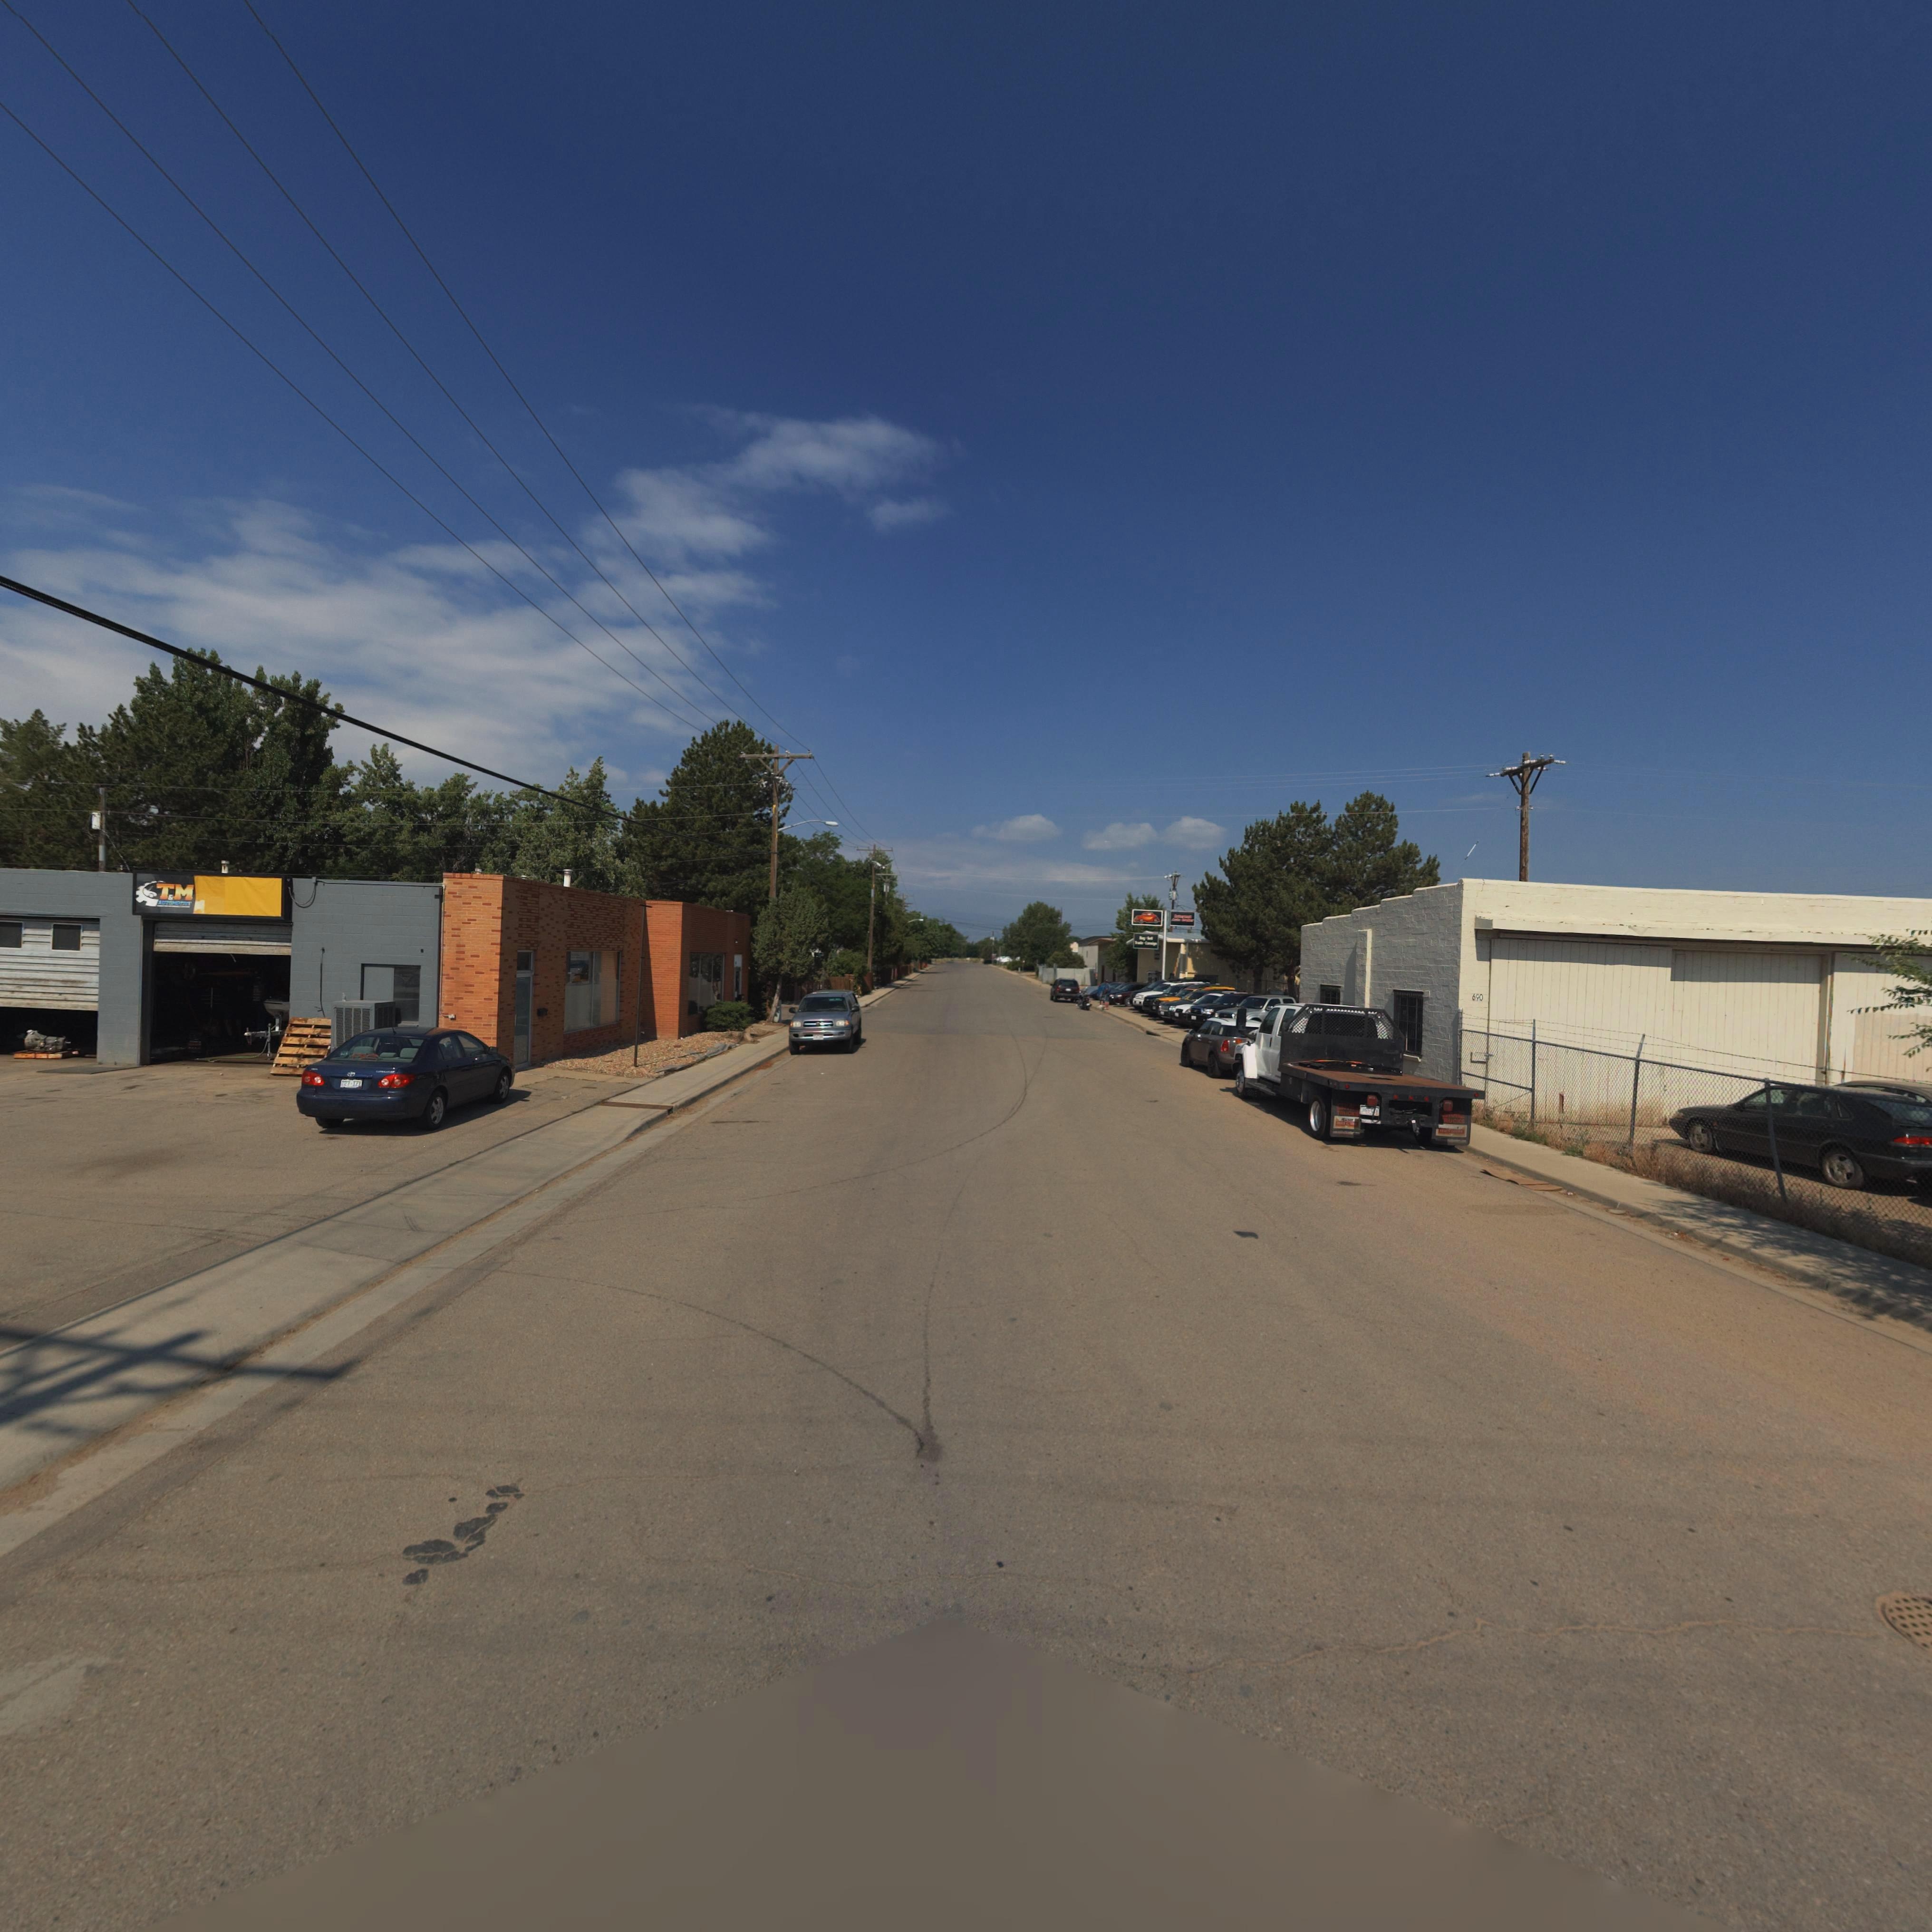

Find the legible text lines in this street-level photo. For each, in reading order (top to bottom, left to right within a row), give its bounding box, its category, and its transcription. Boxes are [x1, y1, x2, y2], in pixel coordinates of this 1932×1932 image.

[155, 883, 194, 901] BusinessName: T&M
[156, 899, 191, 906] BusinessName: AUTO*****
[1174, 914, 1192, 918] BusinessName: I*t****t
[1171, 918, 1194, 922] BusinessName: A*to B****r
[1471, 993, 1483, 1001] StreetNumber: 690